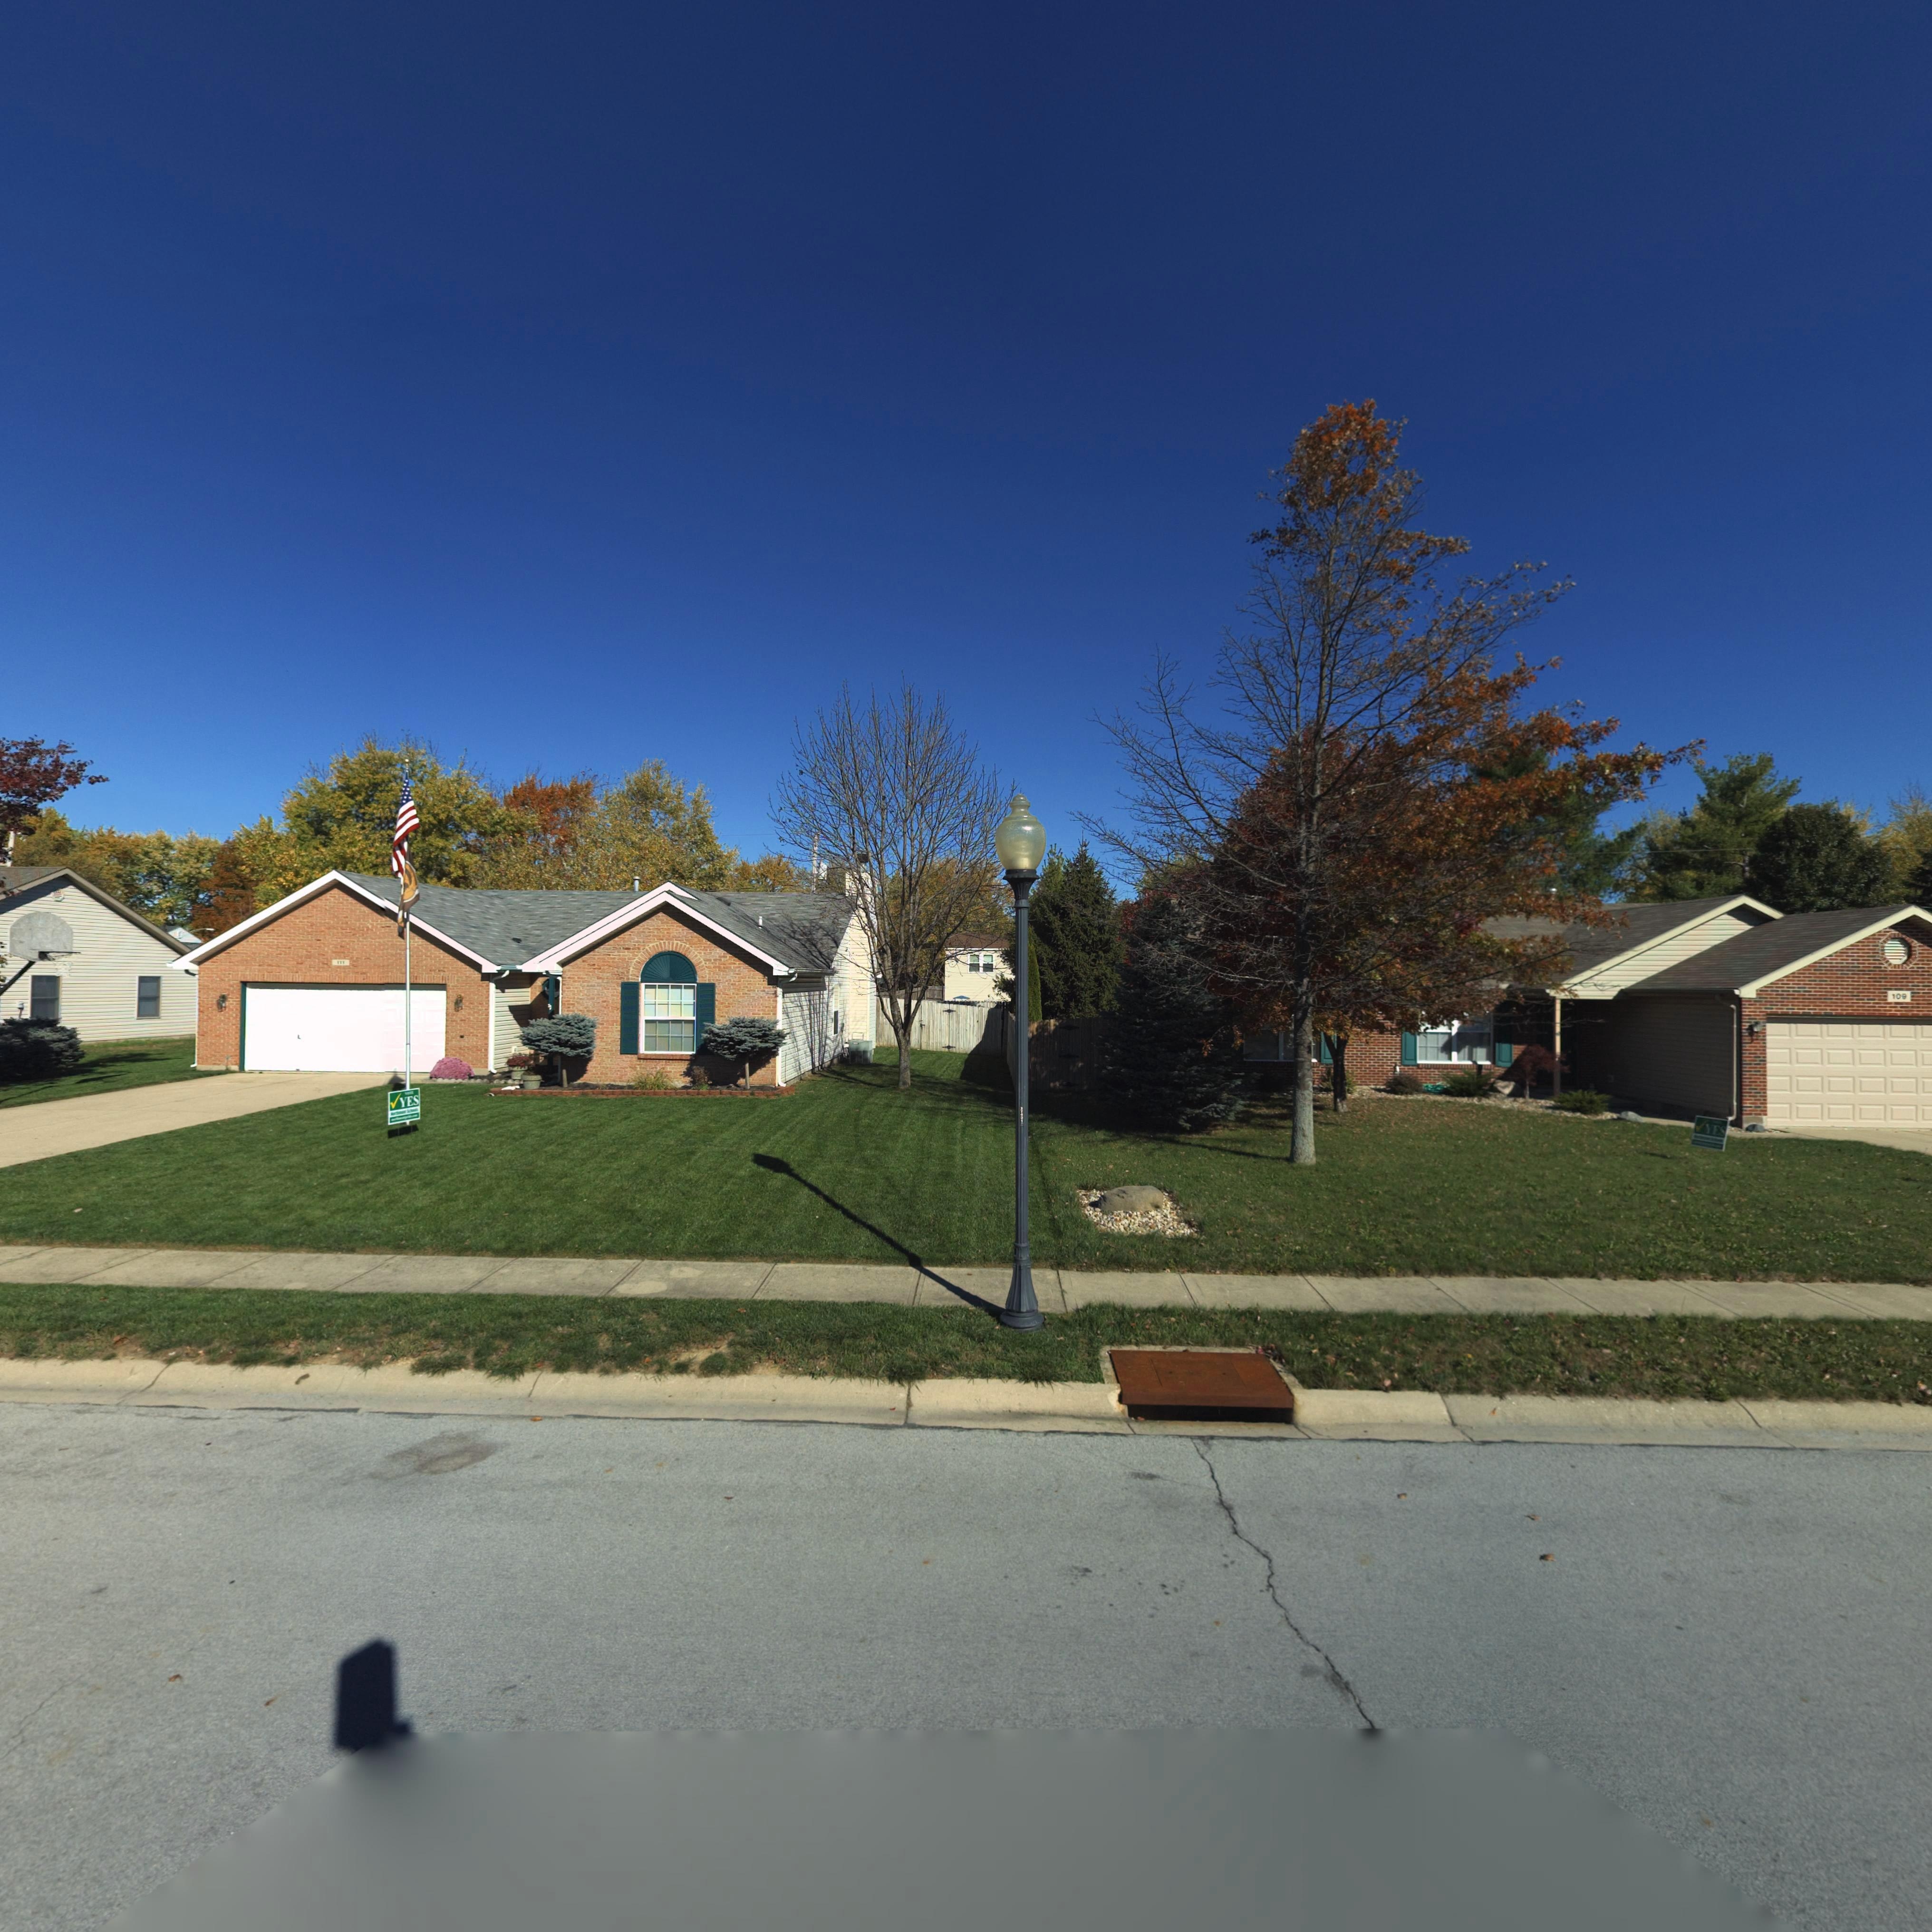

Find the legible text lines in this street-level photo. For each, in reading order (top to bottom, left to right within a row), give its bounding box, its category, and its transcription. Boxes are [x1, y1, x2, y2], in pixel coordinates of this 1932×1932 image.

[337, 960, 345, 965] StreetNumber: 111
[1891, 993, 1907, 1000] StreetNumber: 109
[398, 1094, 419, 1108] None: YES